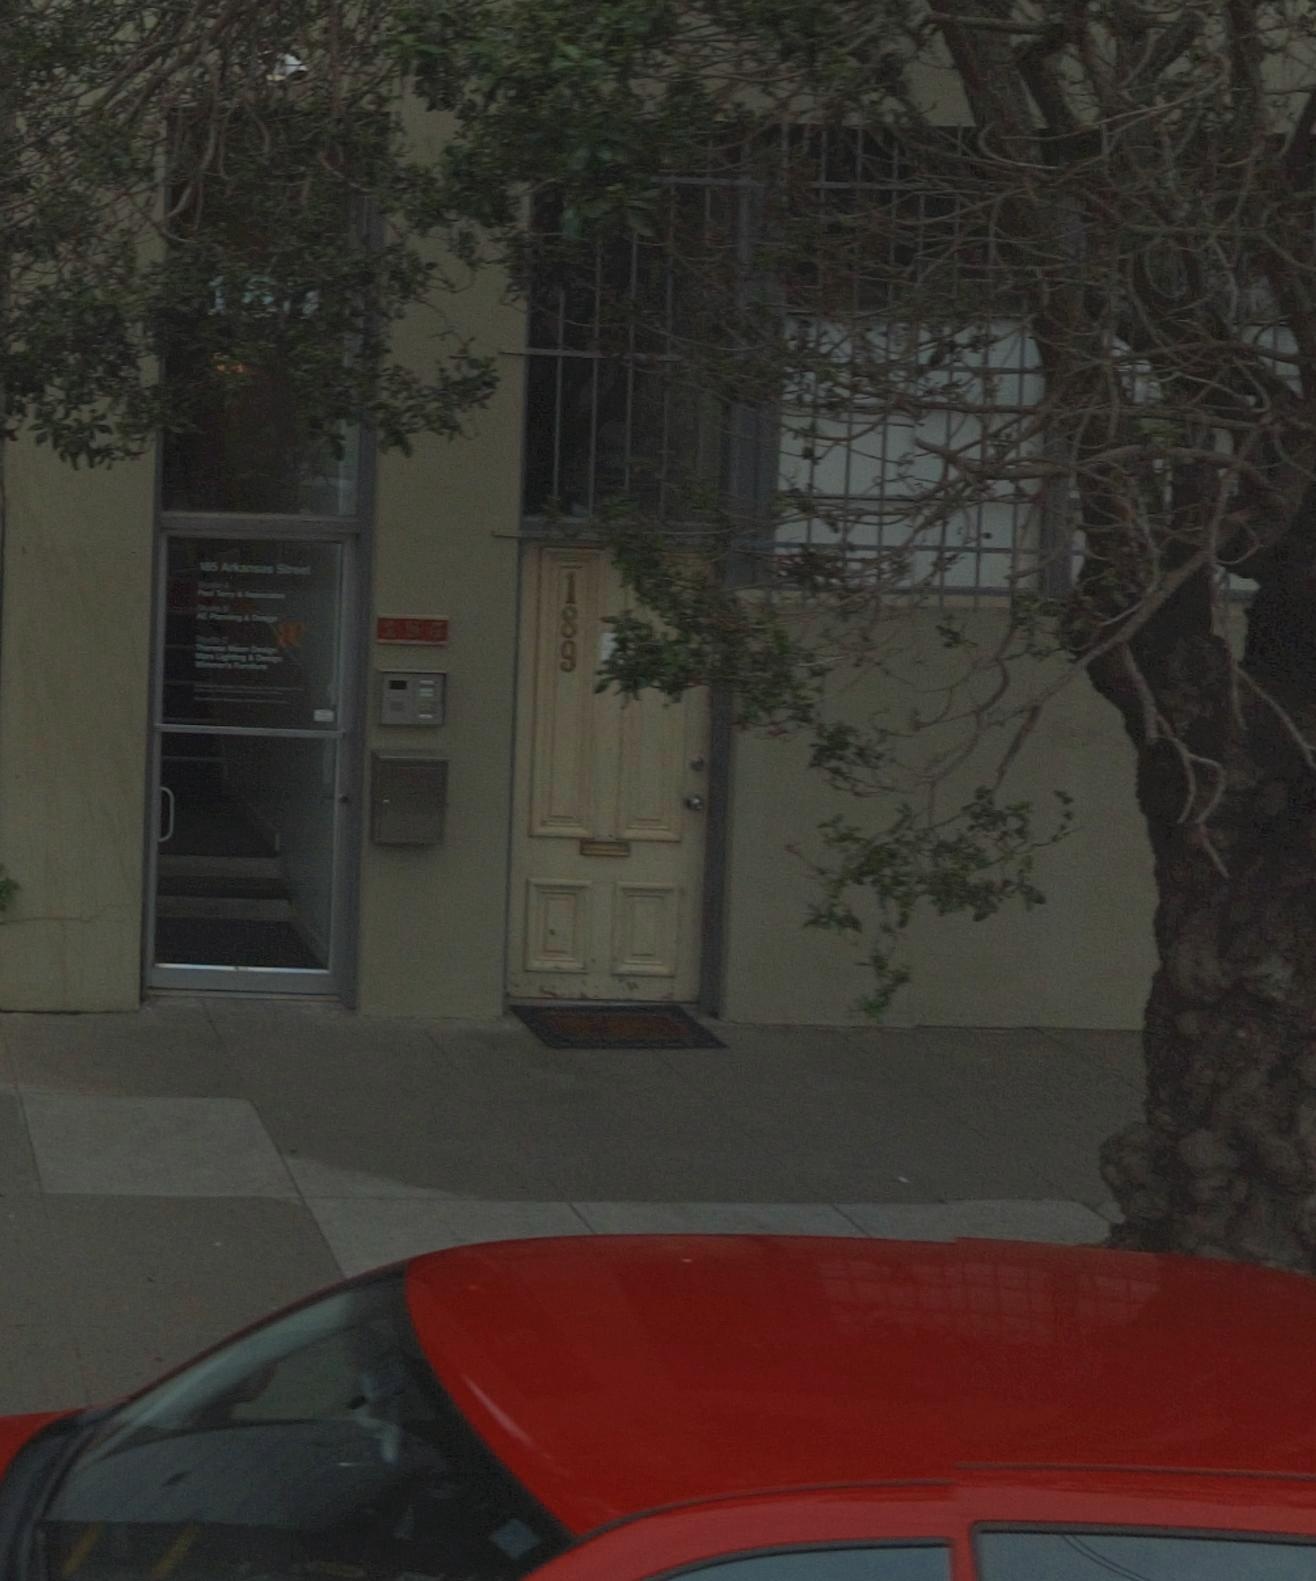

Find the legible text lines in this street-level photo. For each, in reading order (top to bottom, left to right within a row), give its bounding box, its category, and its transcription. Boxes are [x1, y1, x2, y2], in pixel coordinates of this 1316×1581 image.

[559, 569, 580, 674] StreetNumber: 189